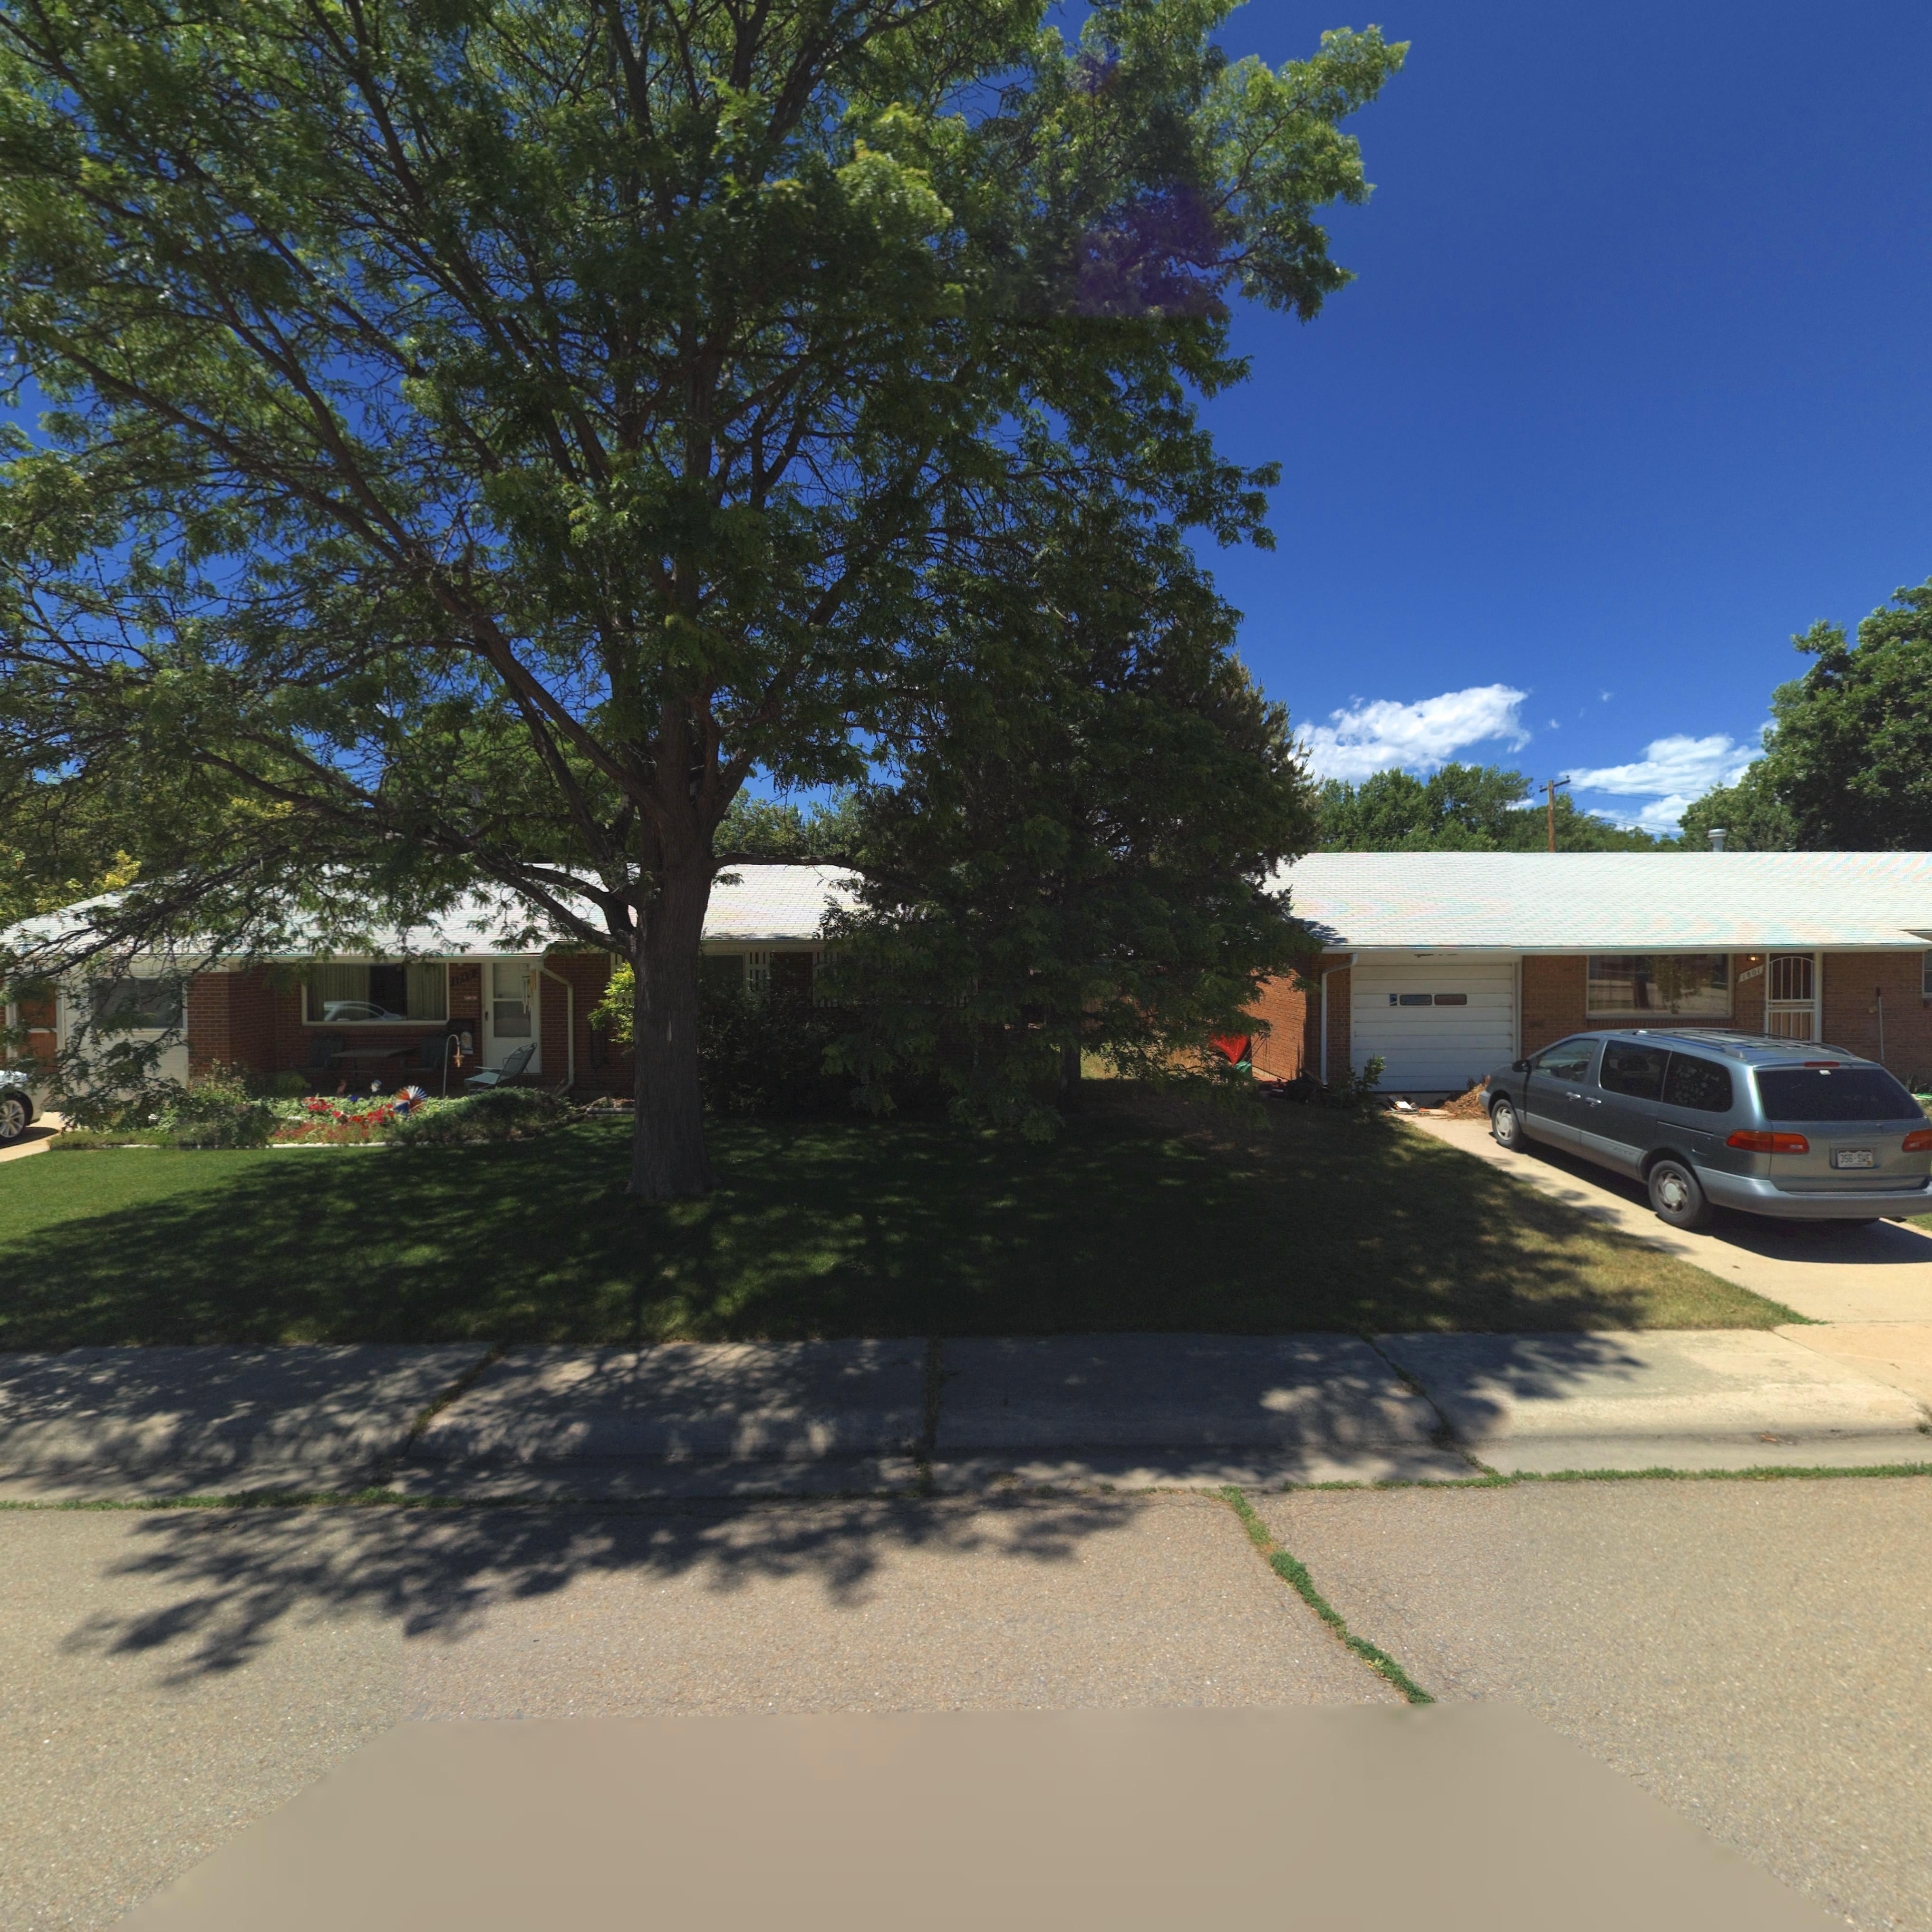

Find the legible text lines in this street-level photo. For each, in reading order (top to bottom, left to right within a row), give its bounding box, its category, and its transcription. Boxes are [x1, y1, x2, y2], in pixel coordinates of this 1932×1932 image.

[454, 970, 472, 985] StreetNumber: 17*9
[1743, 966, 1760, 979] StreetNumber: 1801